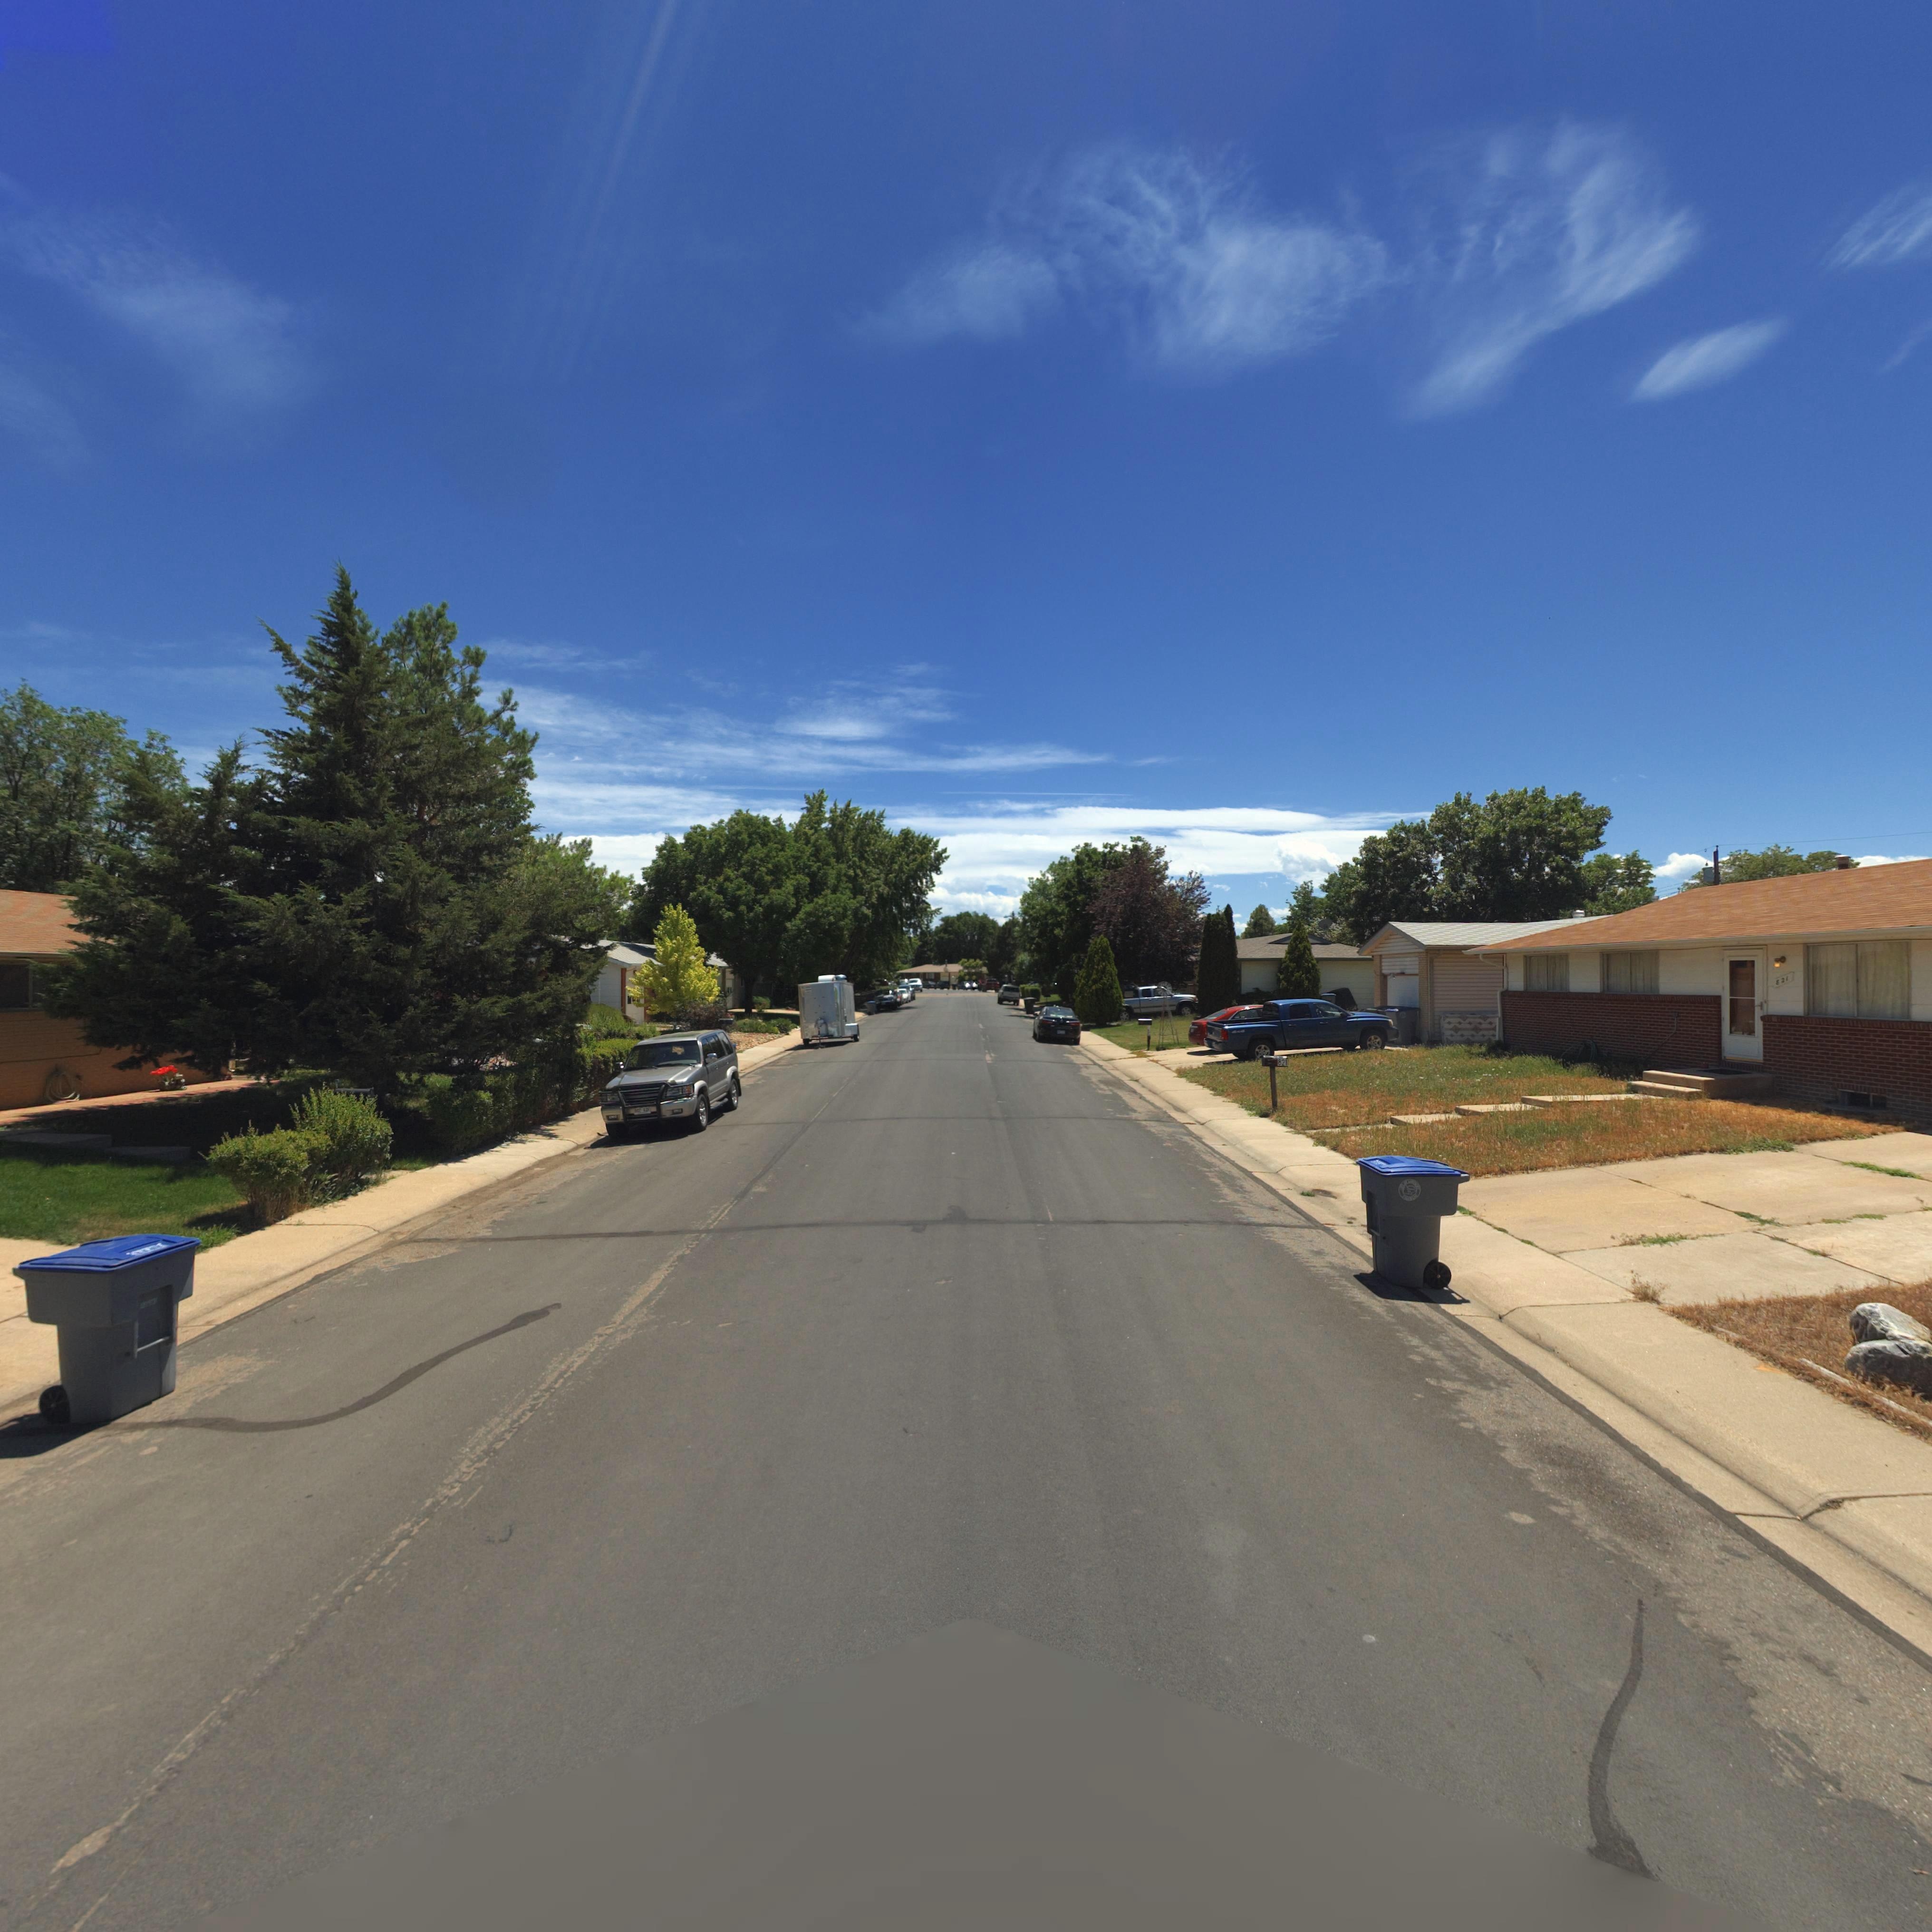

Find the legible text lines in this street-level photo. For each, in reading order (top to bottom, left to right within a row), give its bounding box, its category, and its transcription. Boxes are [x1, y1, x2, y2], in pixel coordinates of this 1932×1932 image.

[1775, 975, 1788, 985] StreetNumber: 8*1
[1278, 1058, 1287, 1066] StreetNumber: 821